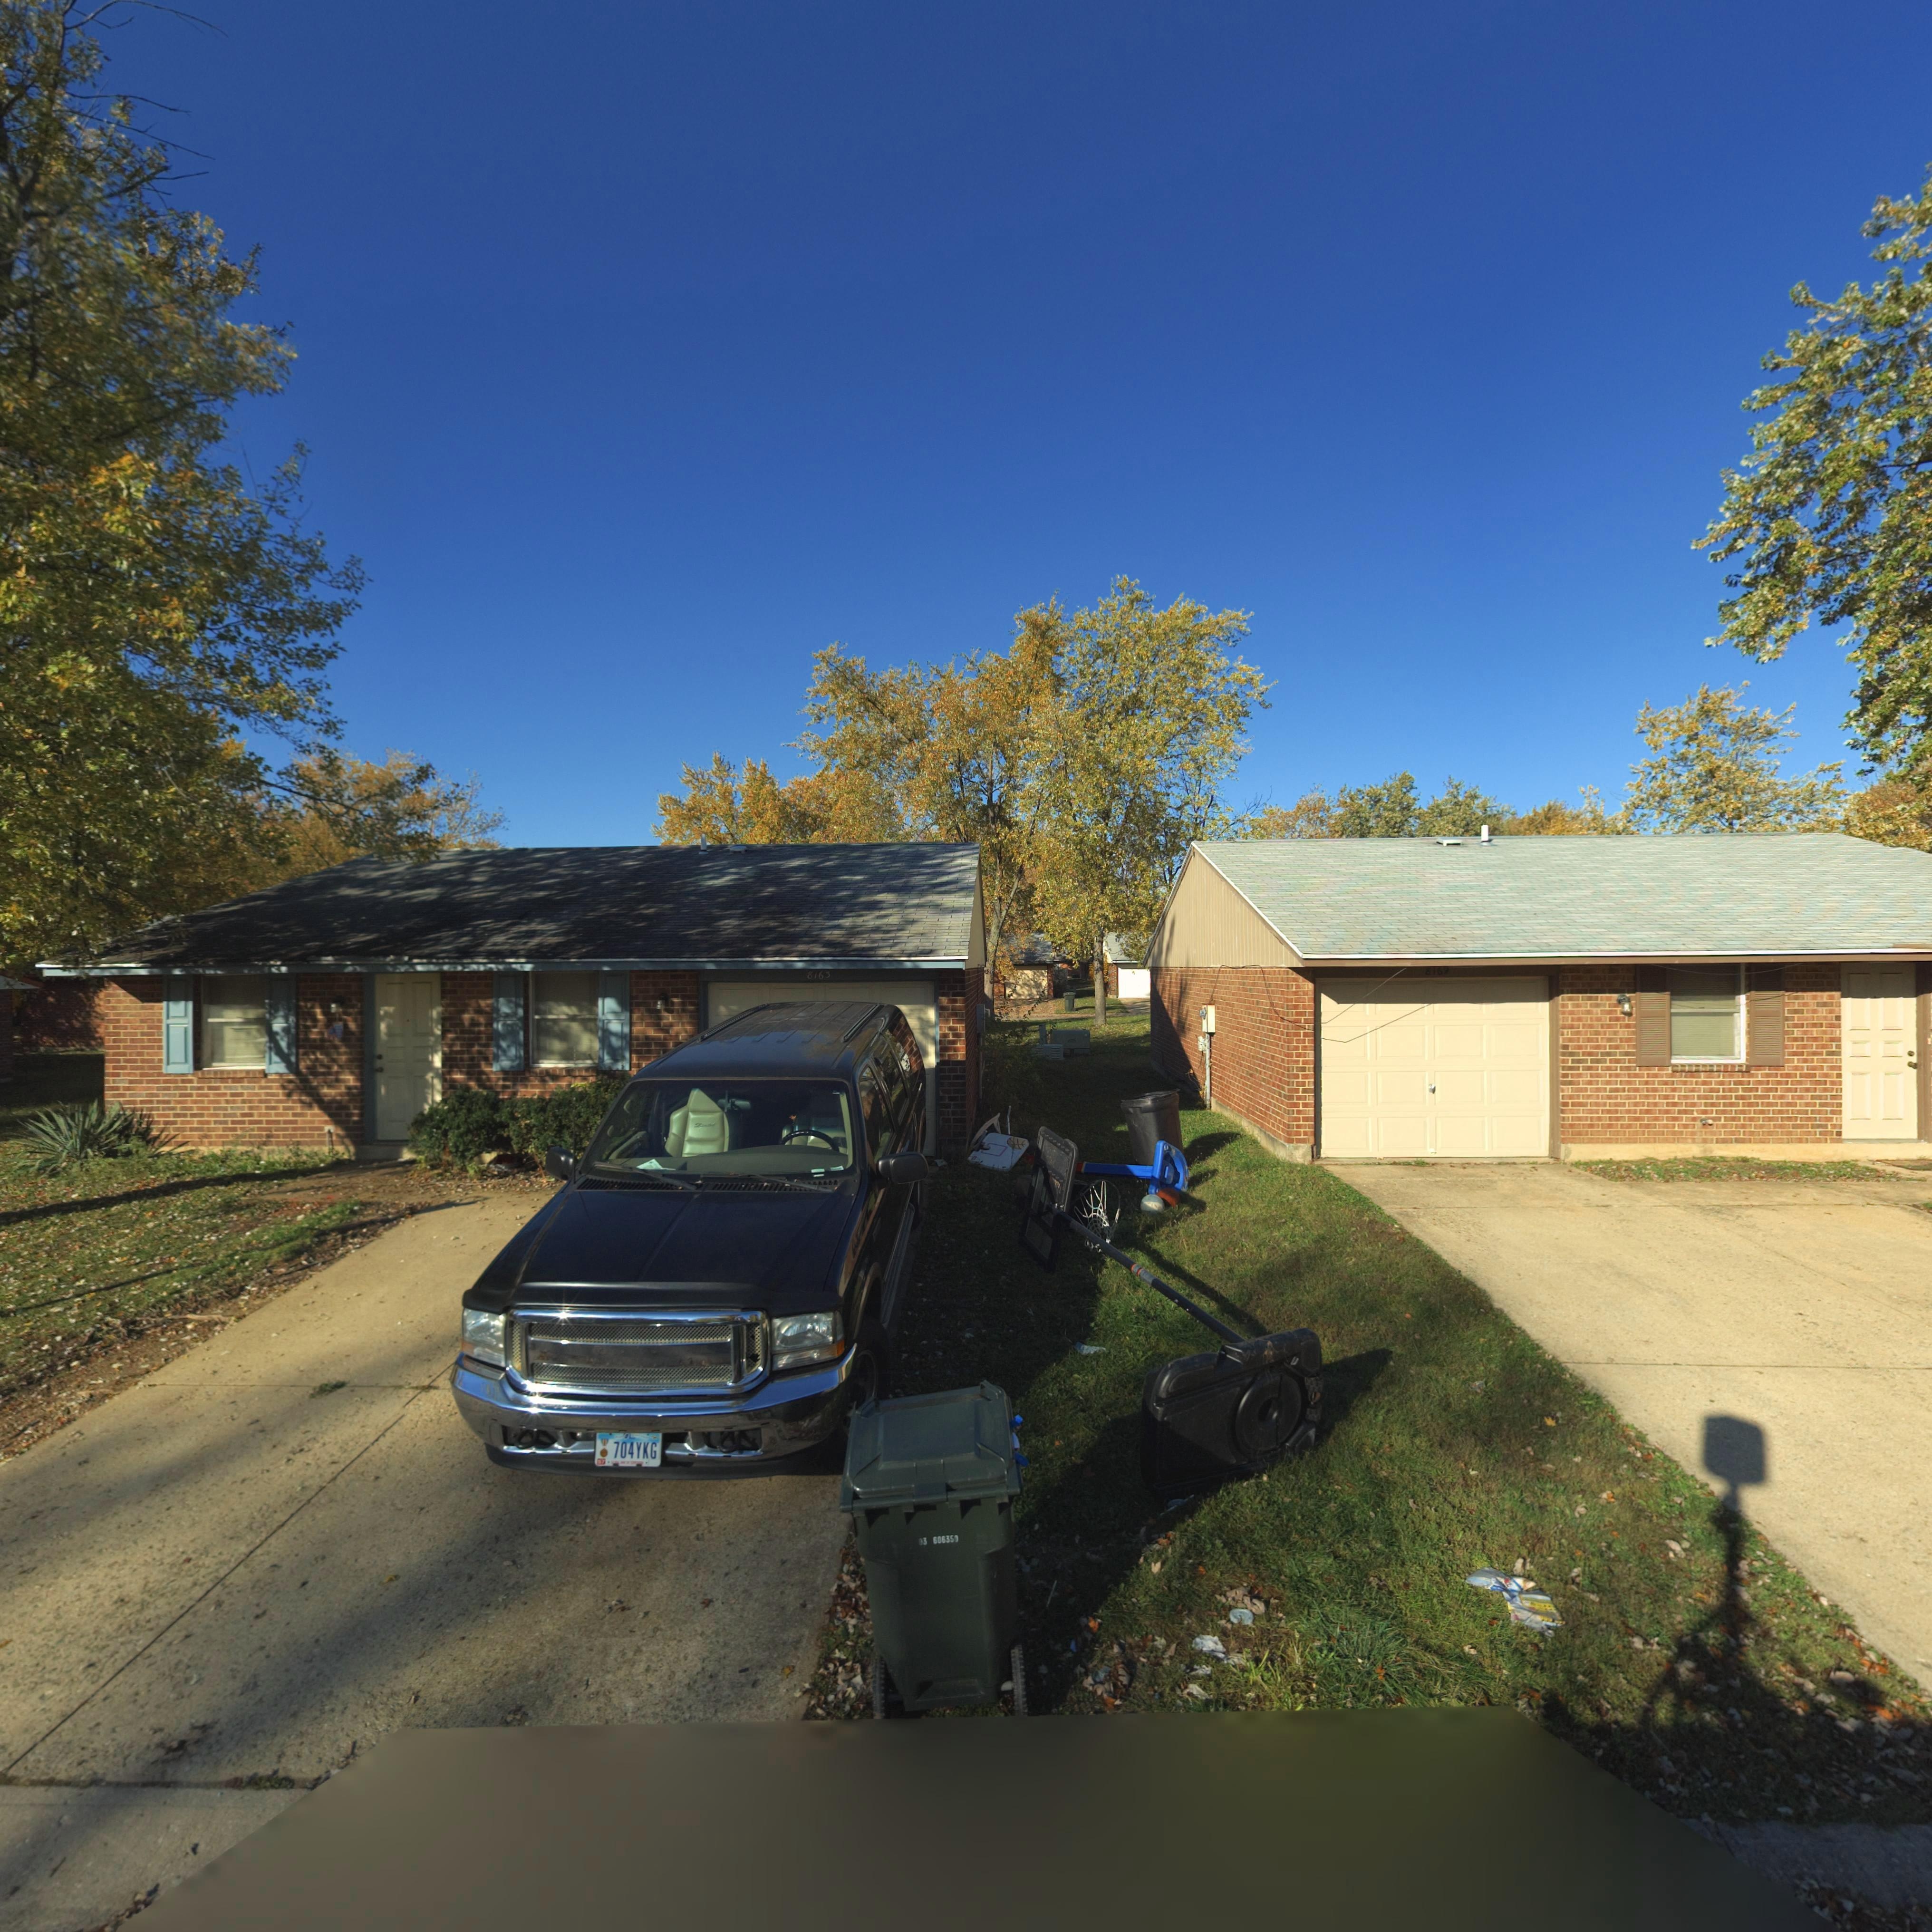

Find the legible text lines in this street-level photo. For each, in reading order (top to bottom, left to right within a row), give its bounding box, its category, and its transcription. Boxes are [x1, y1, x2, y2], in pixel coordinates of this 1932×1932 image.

[806, 970, 832, 981] StreetNumber: 8163
[1424, 965, 1450, 977] StreetNumber: 8169